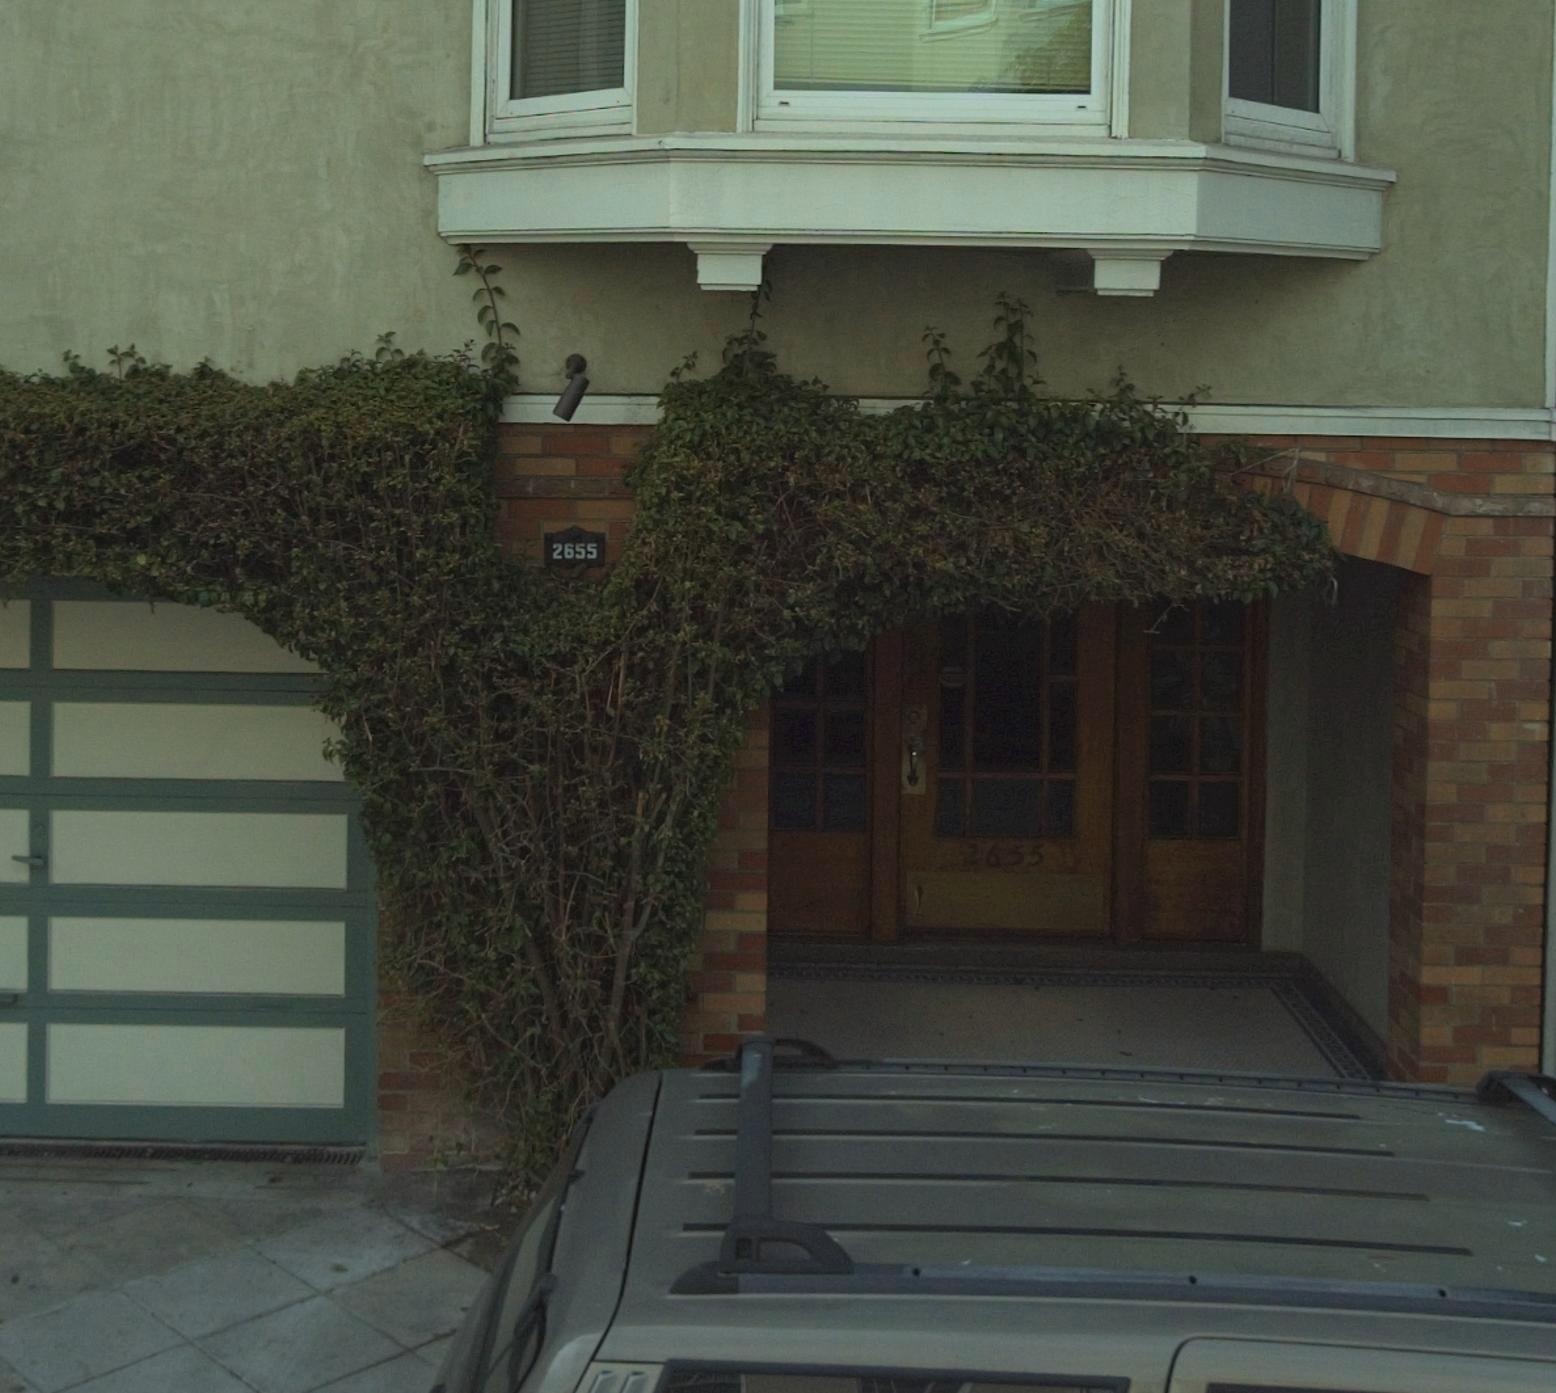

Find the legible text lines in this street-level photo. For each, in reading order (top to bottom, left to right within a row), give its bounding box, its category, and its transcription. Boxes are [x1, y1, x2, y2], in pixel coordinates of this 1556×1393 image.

[550, 539, 601, 564] StreetNumber: 2655
[959, 837, 1049, 871] StreetNumber: 2655